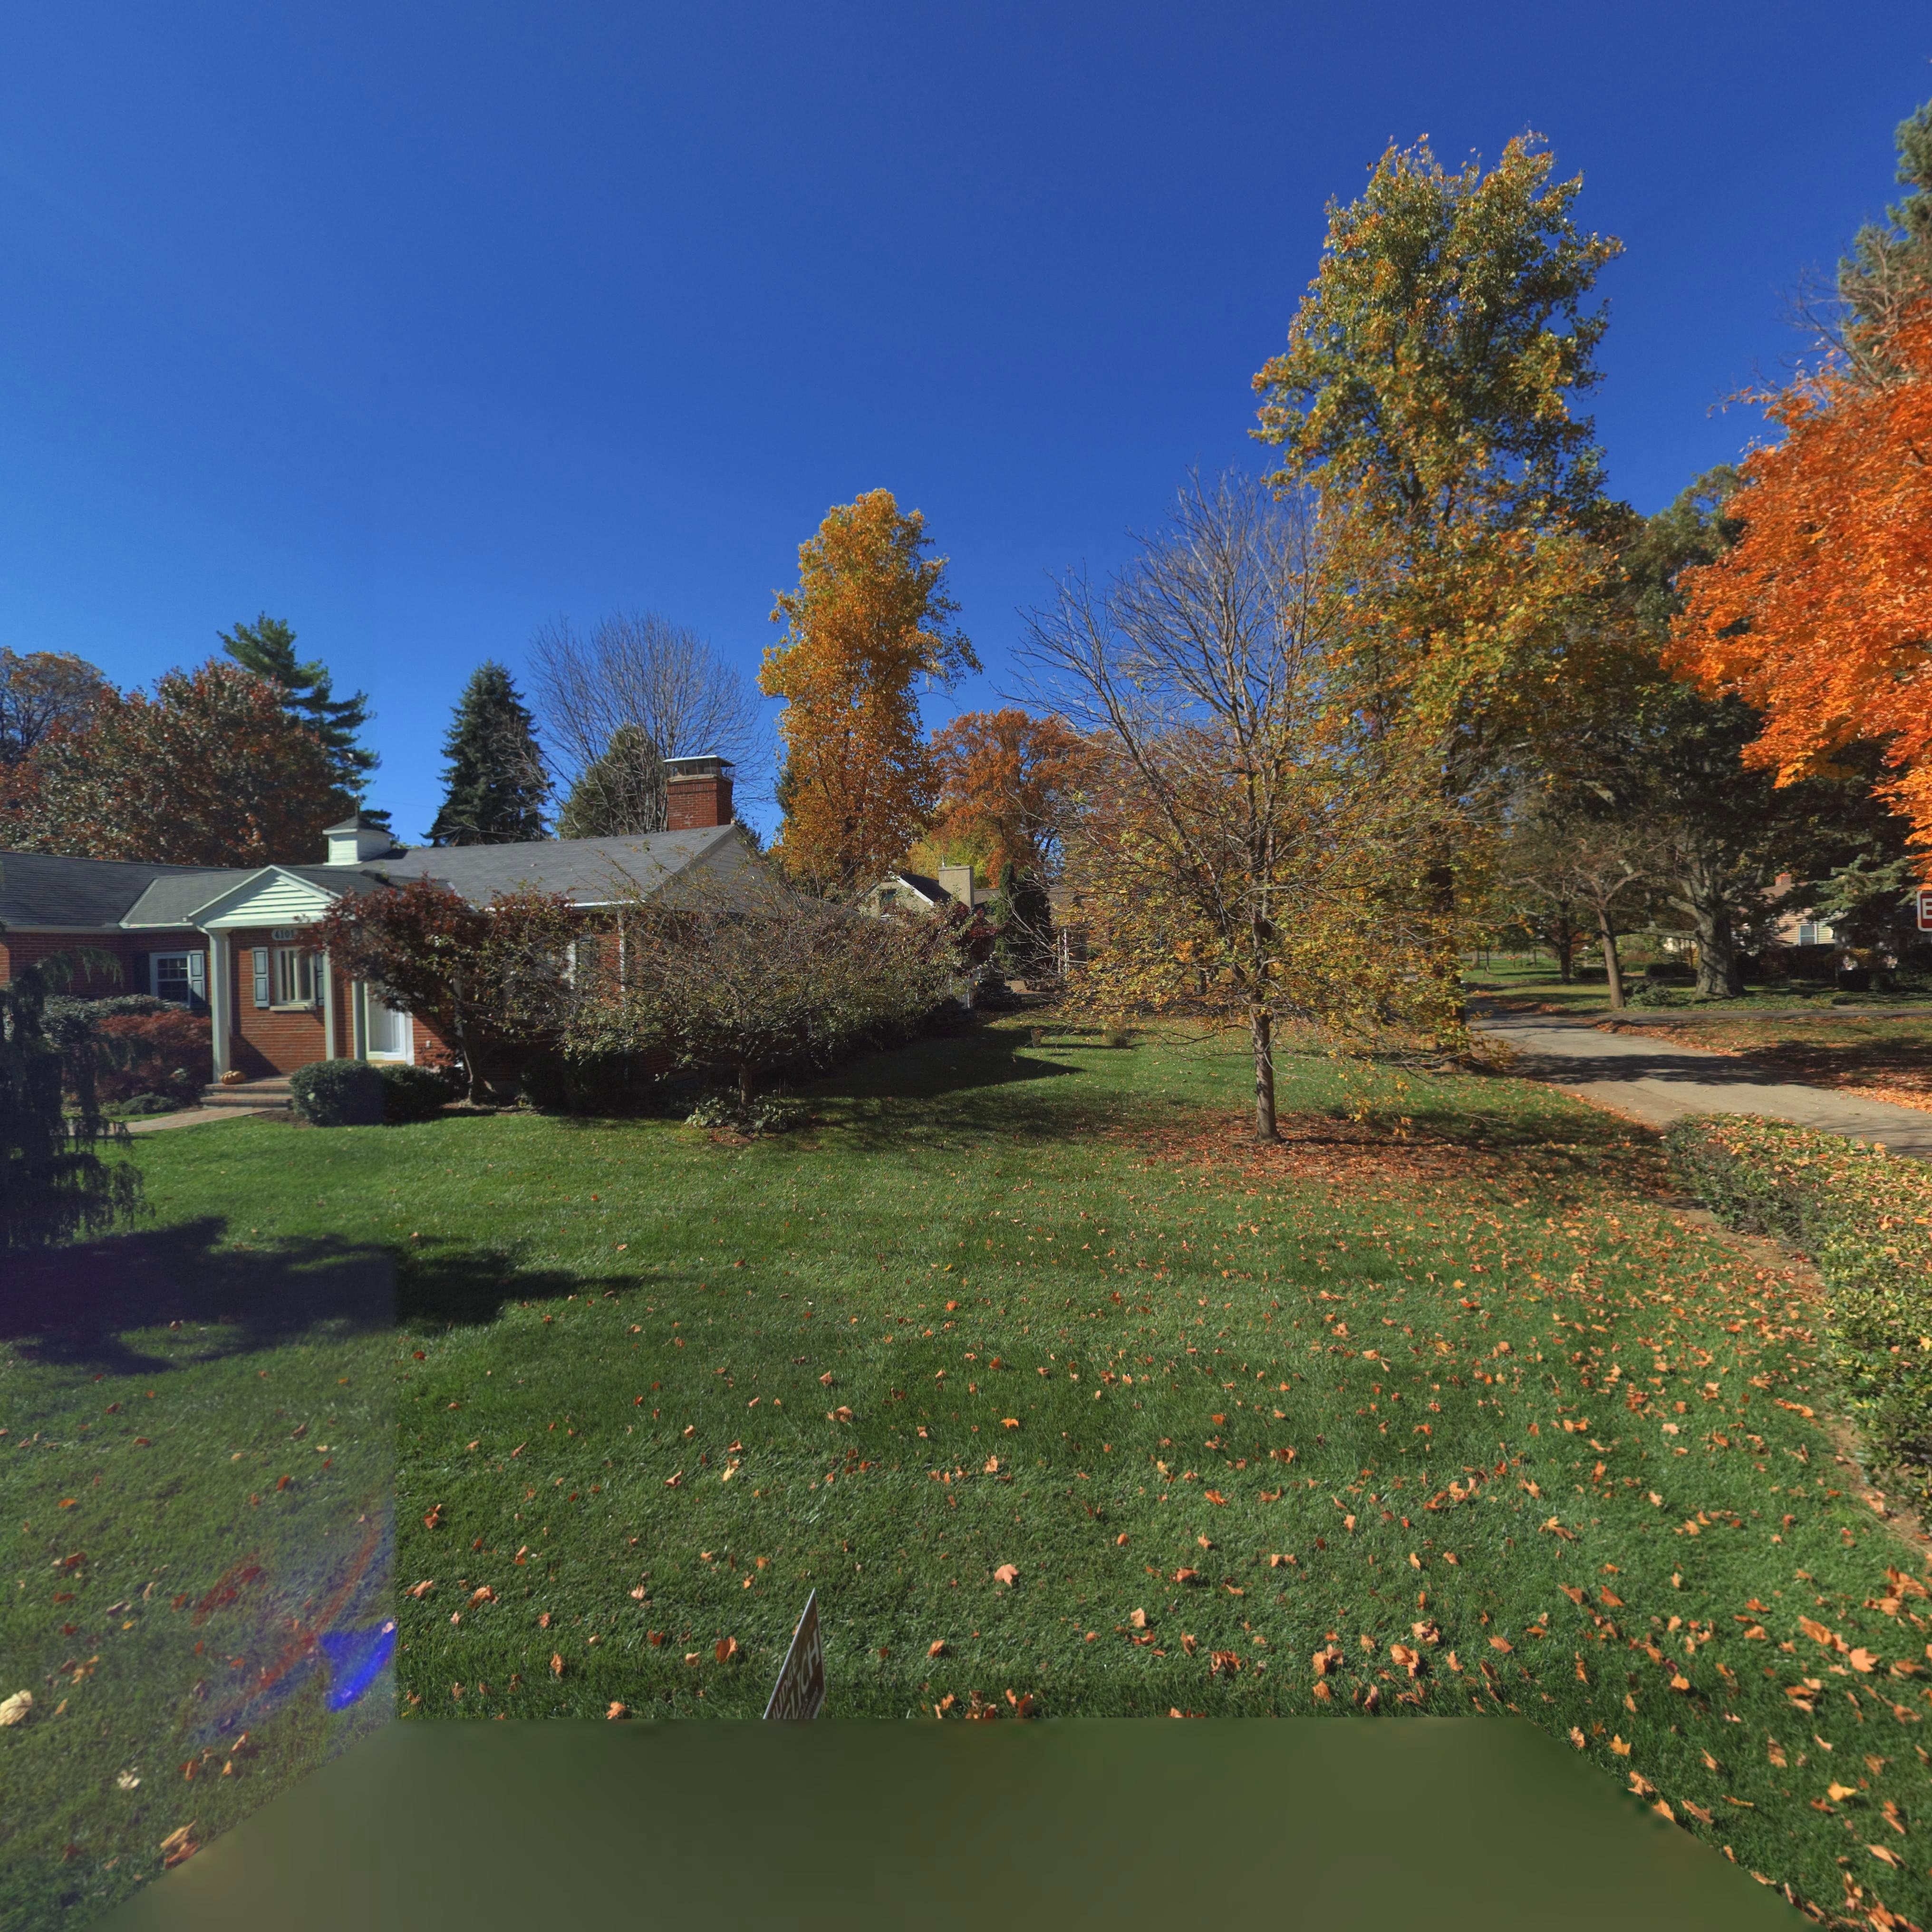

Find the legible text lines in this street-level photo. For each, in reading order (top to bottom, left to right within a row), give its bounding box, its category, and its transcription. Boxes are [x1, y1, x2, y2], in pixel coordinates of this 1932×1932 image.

[273, 928, 296, 940] StreetNumber: 4101
[773, 1647, 800, 1727] None: UDGE
[788, 1624, 821, 1731] None: LICH